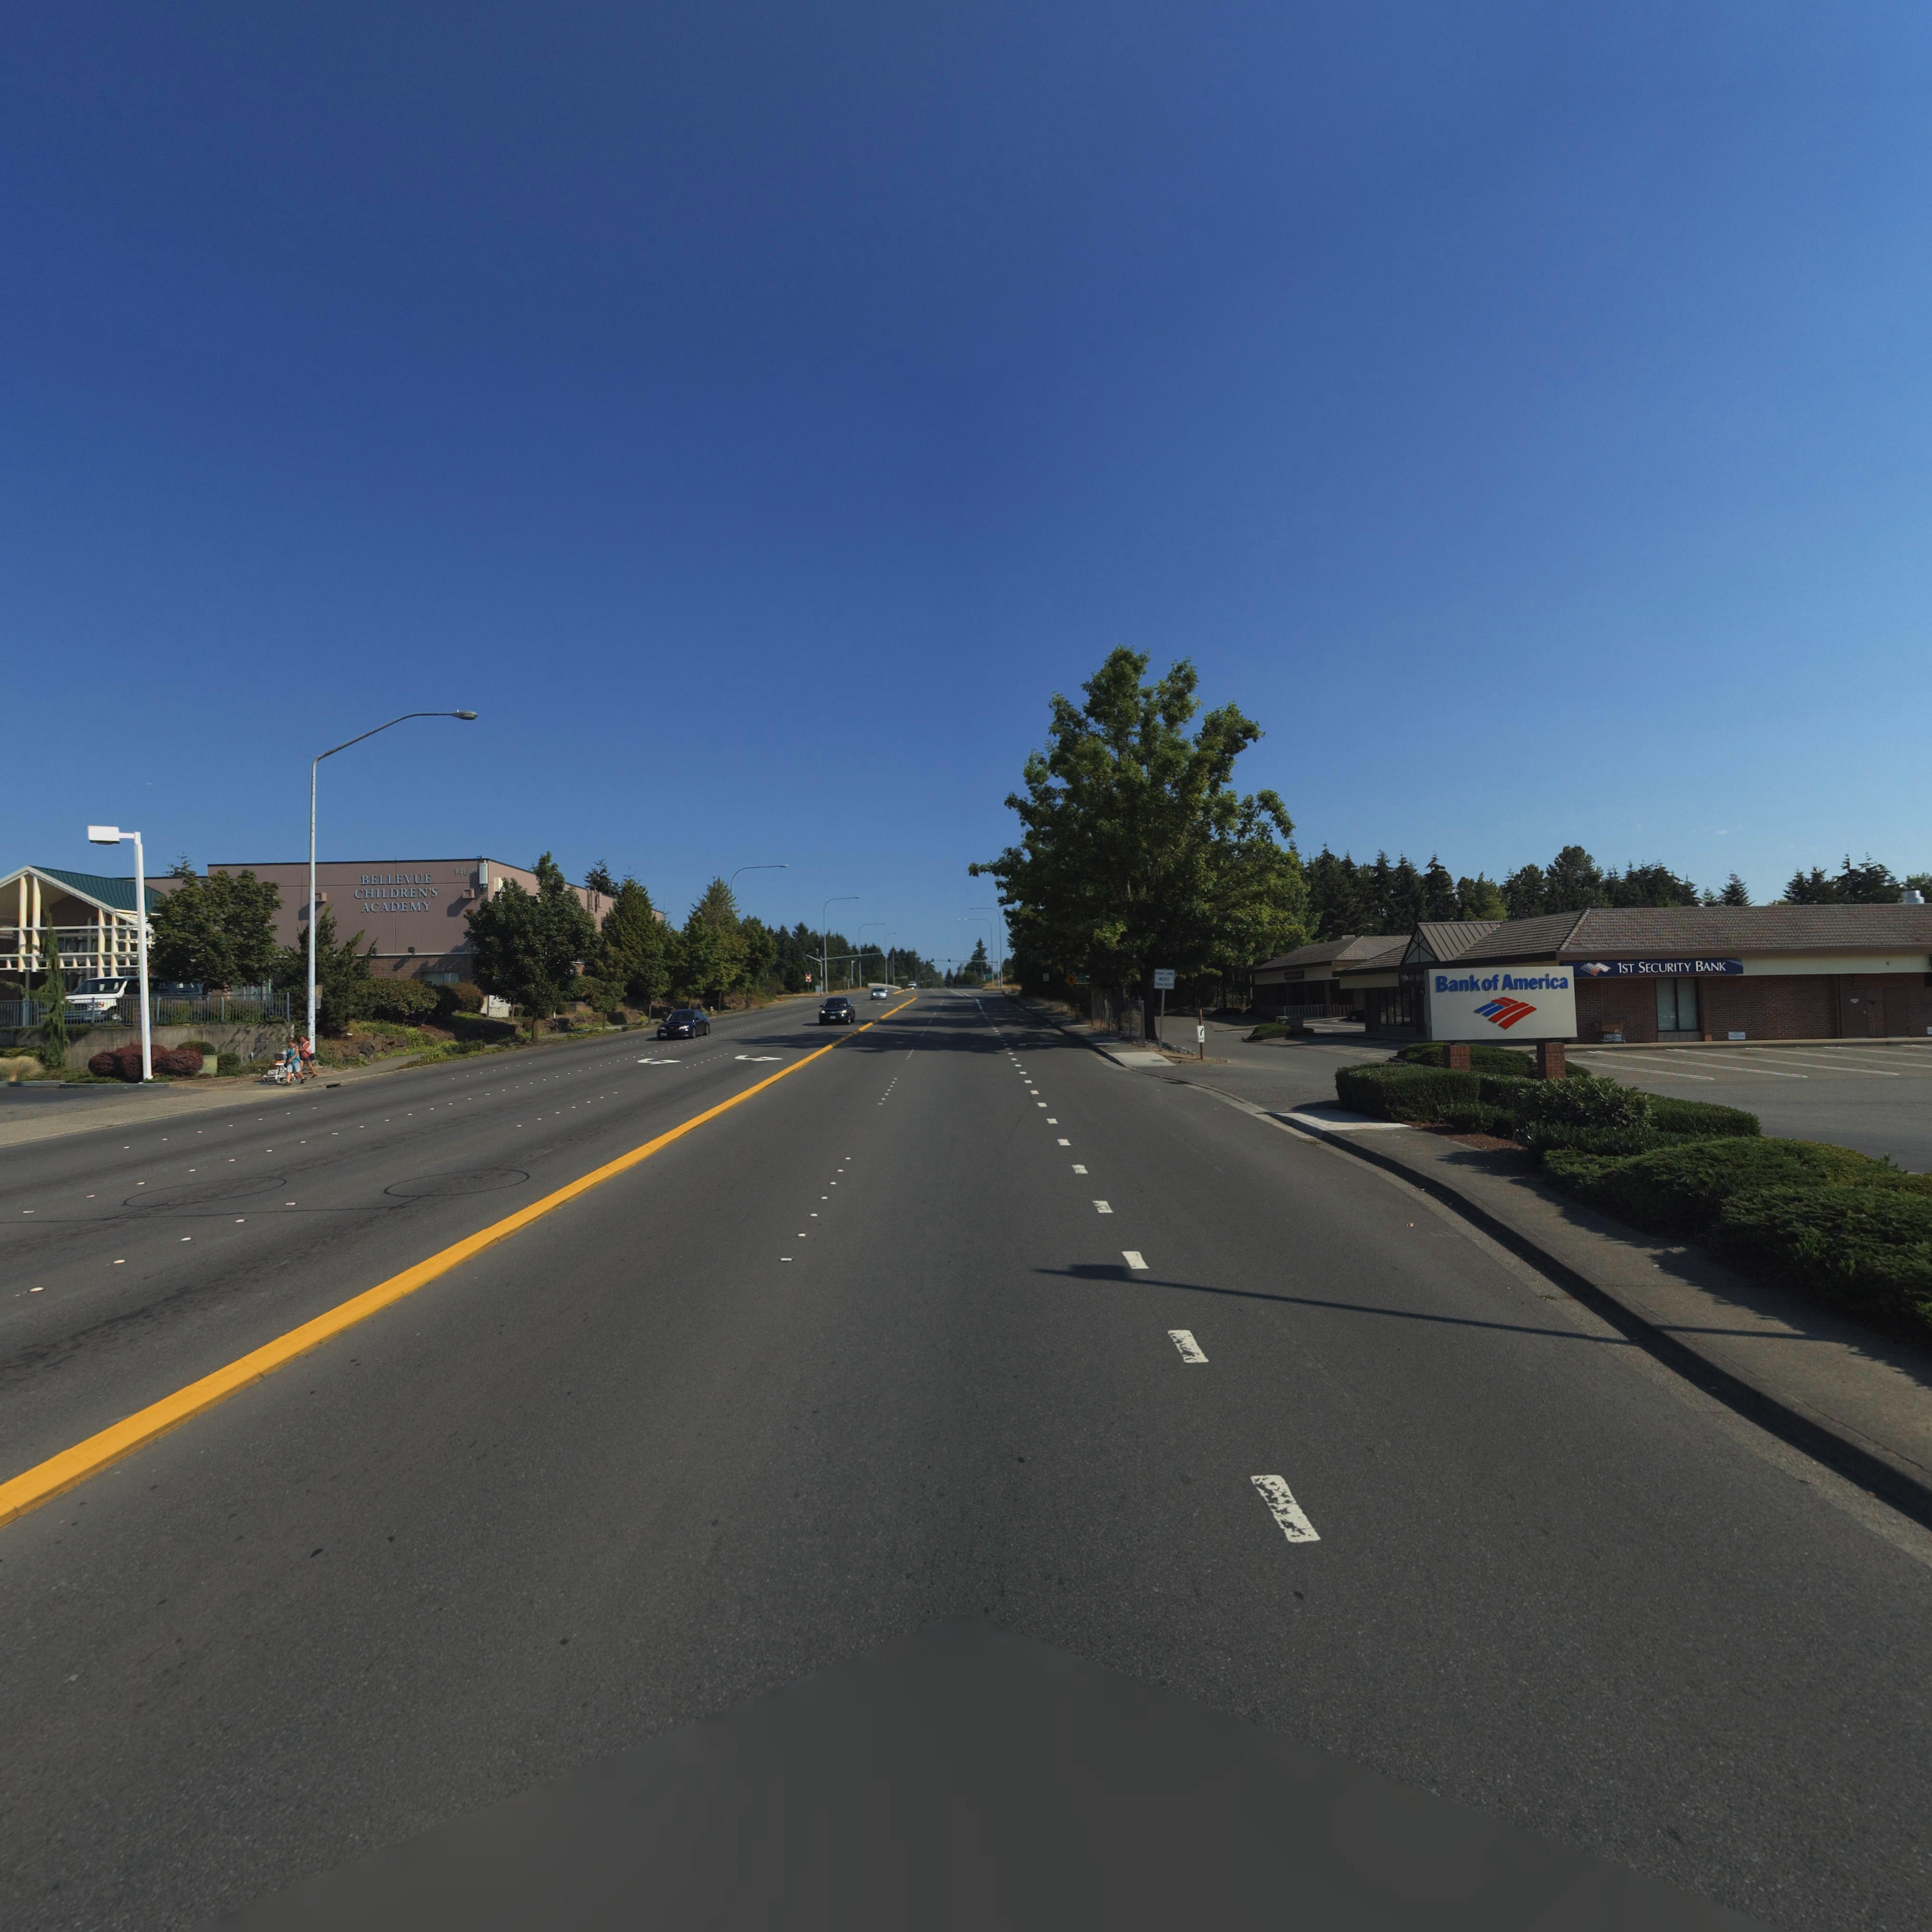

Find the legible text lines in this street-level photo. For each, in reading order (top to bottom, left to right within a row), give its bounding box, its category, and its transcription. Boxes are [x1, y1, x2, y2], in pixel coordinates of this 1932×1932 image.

[453, 868, 480, 876] StreetNumber: 1464*
[361, 874, 431, 884] BusinessName: BELLEVUE
[354, 888, 437, 898] BusinessName: CHILDREN*S
[360, 900, 431, 913] BusinessName: ACADEMY
[1617, 961, 1726, 974] BusinessName: 1ST SECURITY BANK
[1409, 974, 1424, 981] BusinessName: 1ST SEC*
[1436, 973, 1568, 992] BusinessName: Bank of America